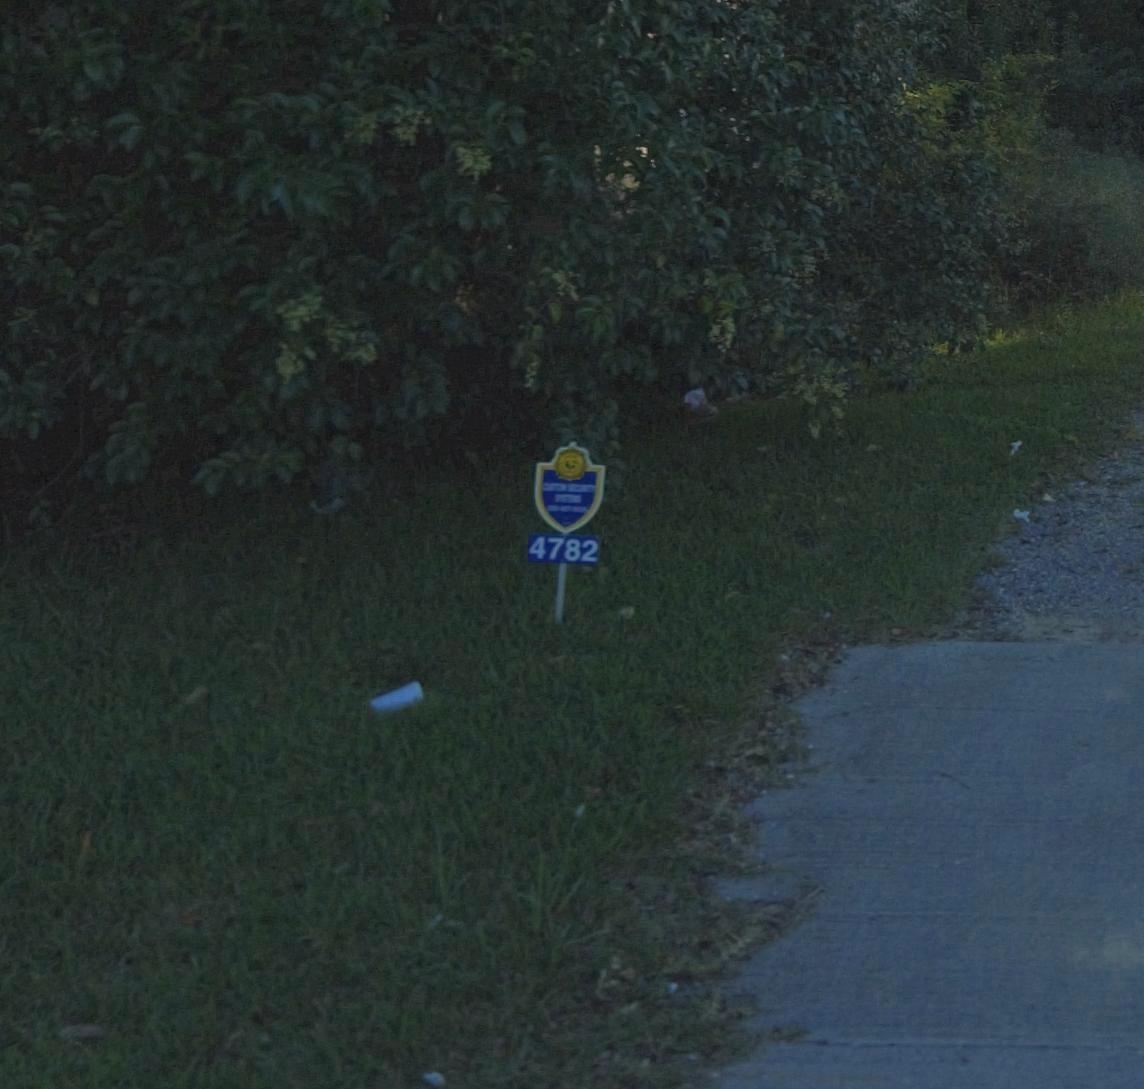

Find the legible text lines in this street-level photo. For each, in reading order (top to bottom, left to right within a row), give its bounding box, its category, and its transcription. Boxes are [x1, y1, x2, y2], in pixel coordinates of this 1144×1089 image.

[526, 532, 601, 565] StreetNumber: 4782